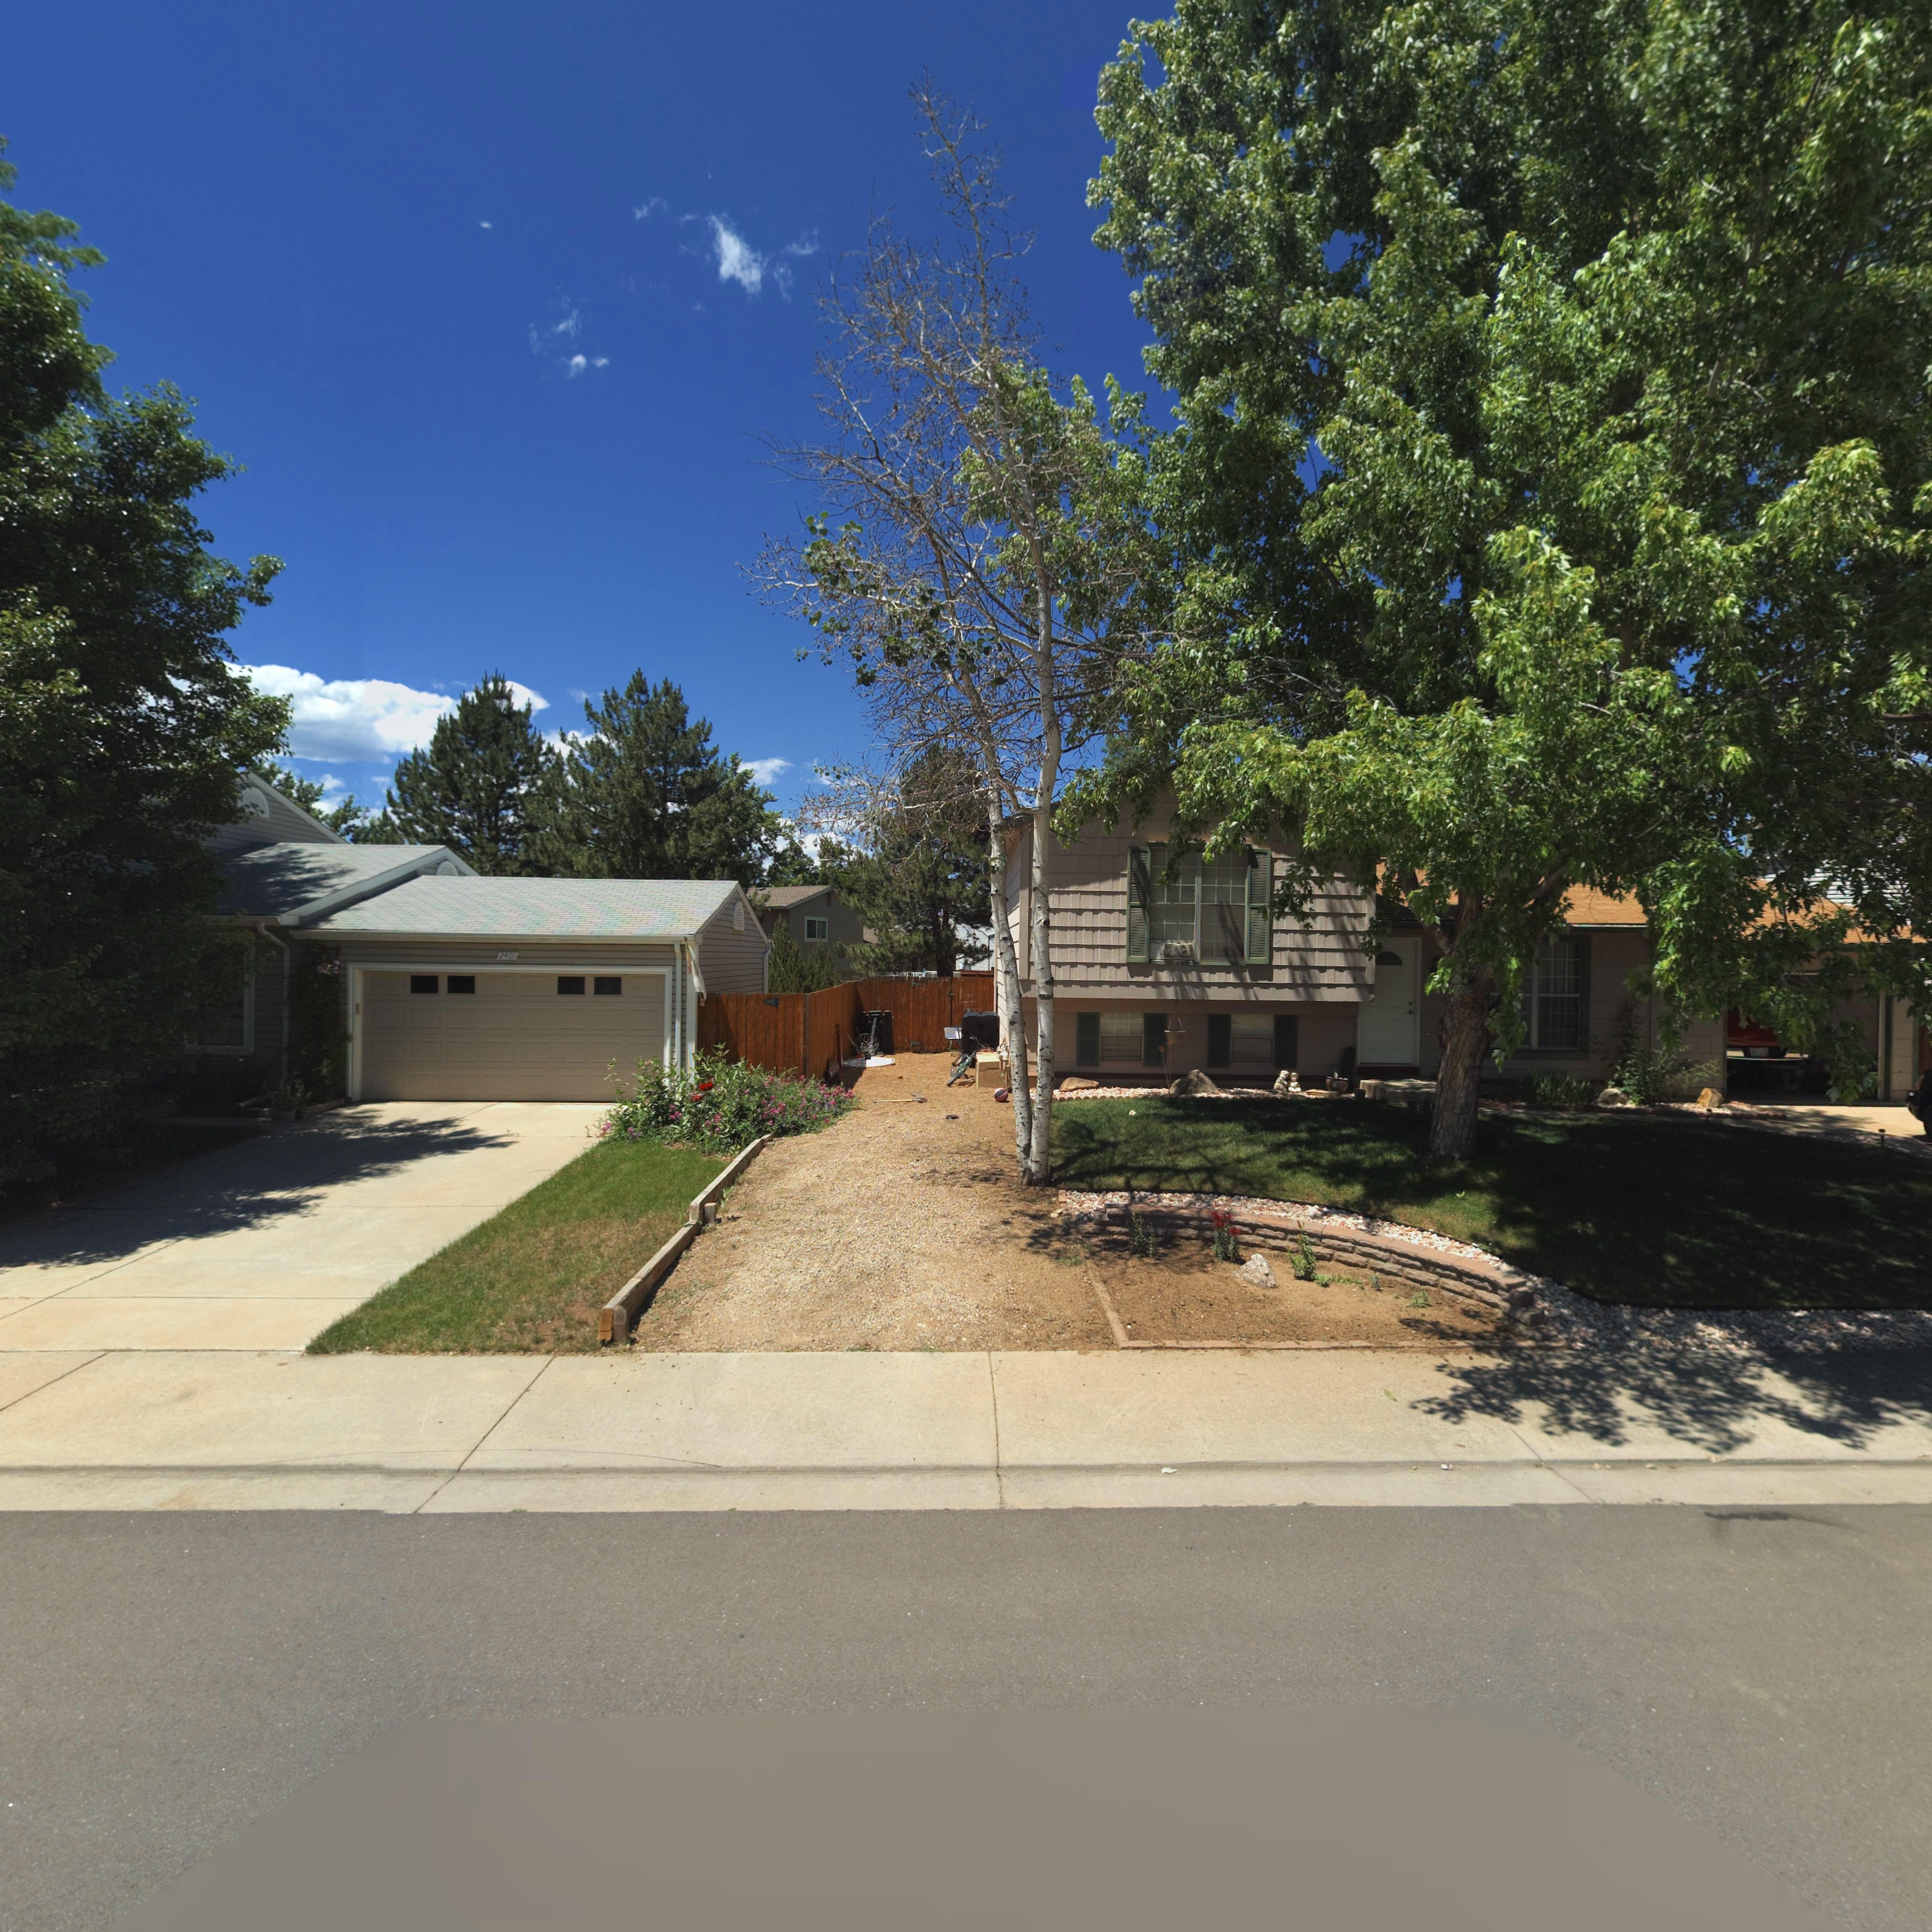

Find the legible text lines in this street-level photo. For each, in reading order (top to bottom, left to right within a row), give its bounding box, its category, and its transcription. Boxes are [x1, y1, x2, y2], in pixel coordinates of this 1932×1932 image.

[498, 952, 516, 959] StreetNumber: 2401